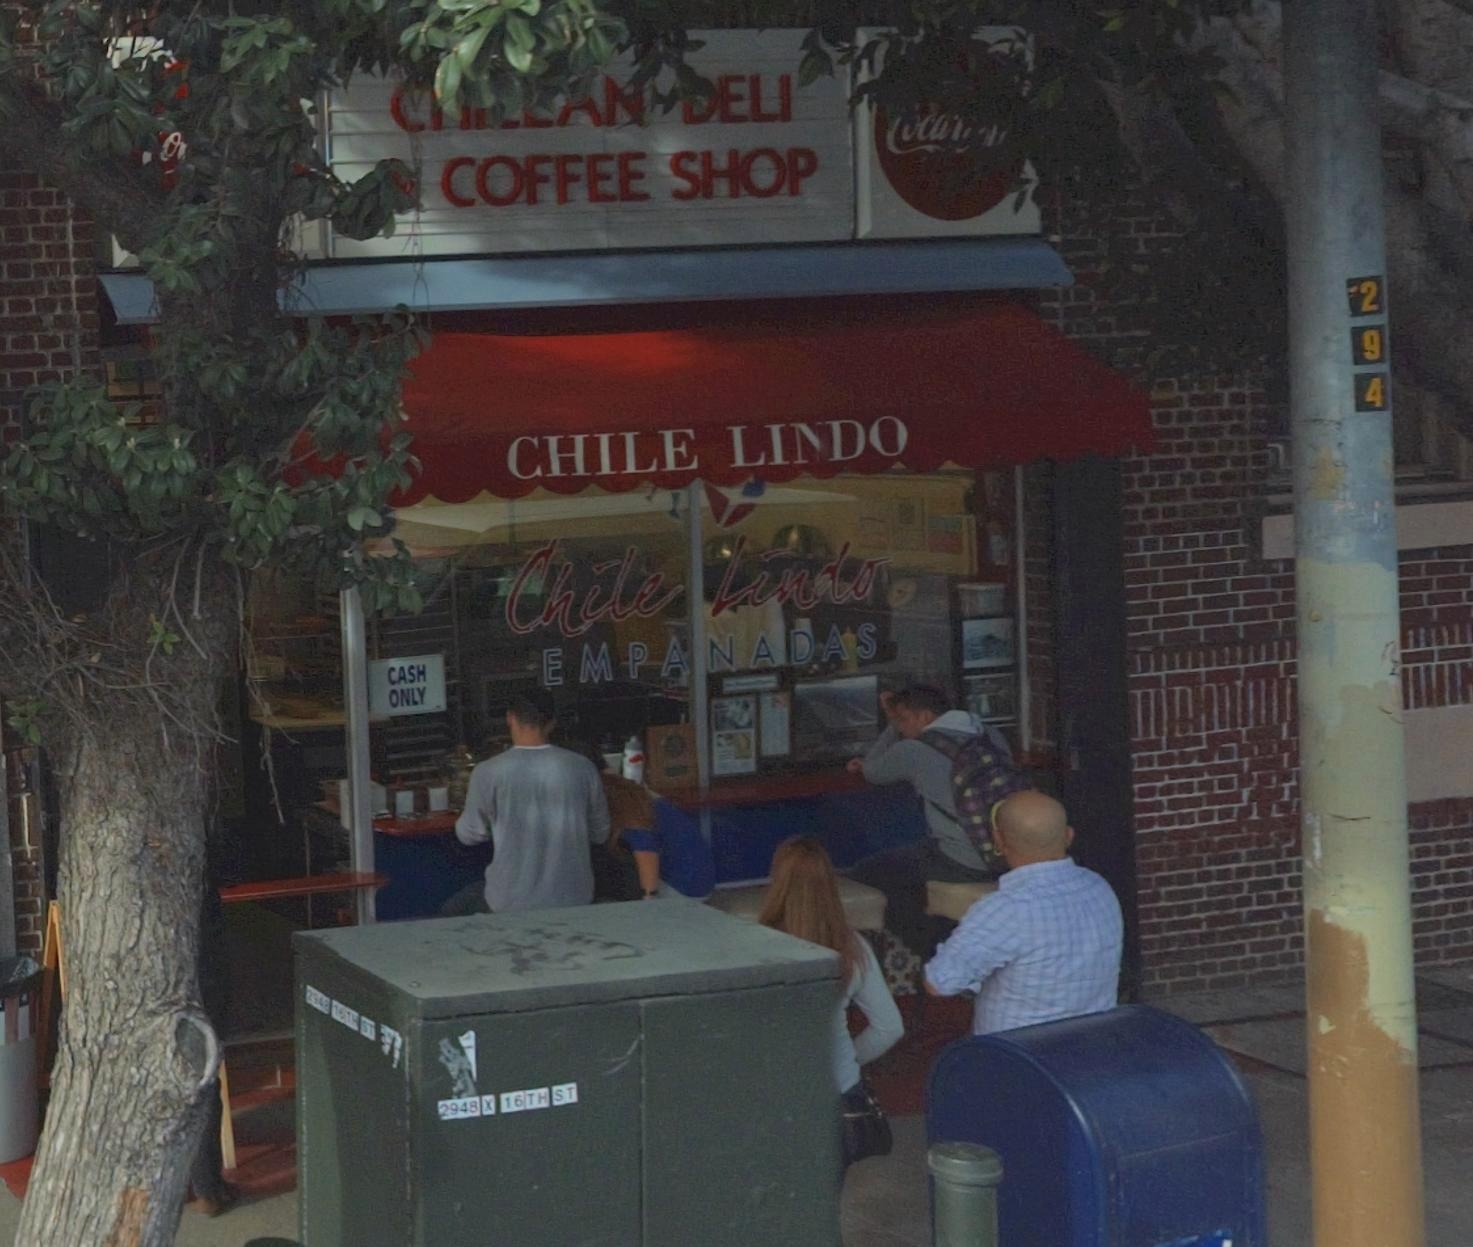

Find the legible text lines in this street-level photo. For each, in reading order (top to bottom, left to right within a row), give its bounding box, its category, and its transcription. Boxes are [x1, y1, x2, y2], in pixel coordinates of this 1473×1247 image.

[713, 66, 800, 130] None: ELI
[154, 127, 188, 167] None: o
[434, 142, 826, 213] None: COFFEE SHOP
[1354, 276, 1388, 412] None: 294
[503, 411, 914, 484] BusinessName: CHILE LI*DO
[499, 526, 903, 645] BusinessName: Chile Lindo
[385, 682, 430, 710] None: ONLY
[384, 660, 432, 689] None: CASH
[538, 615, 882, 692] None: EMPANADAS
[304, 983, 331, 1017] StreetNumber: 2948
[330, 997, 376, 1043] StreetName: 16TH ST
[435, 1094, 481, 1122] StreetNumber: 2948
[481, 1092, 498, 1117] None: X
[500, 1081, 580, 1114] StreetName: 16TH ST